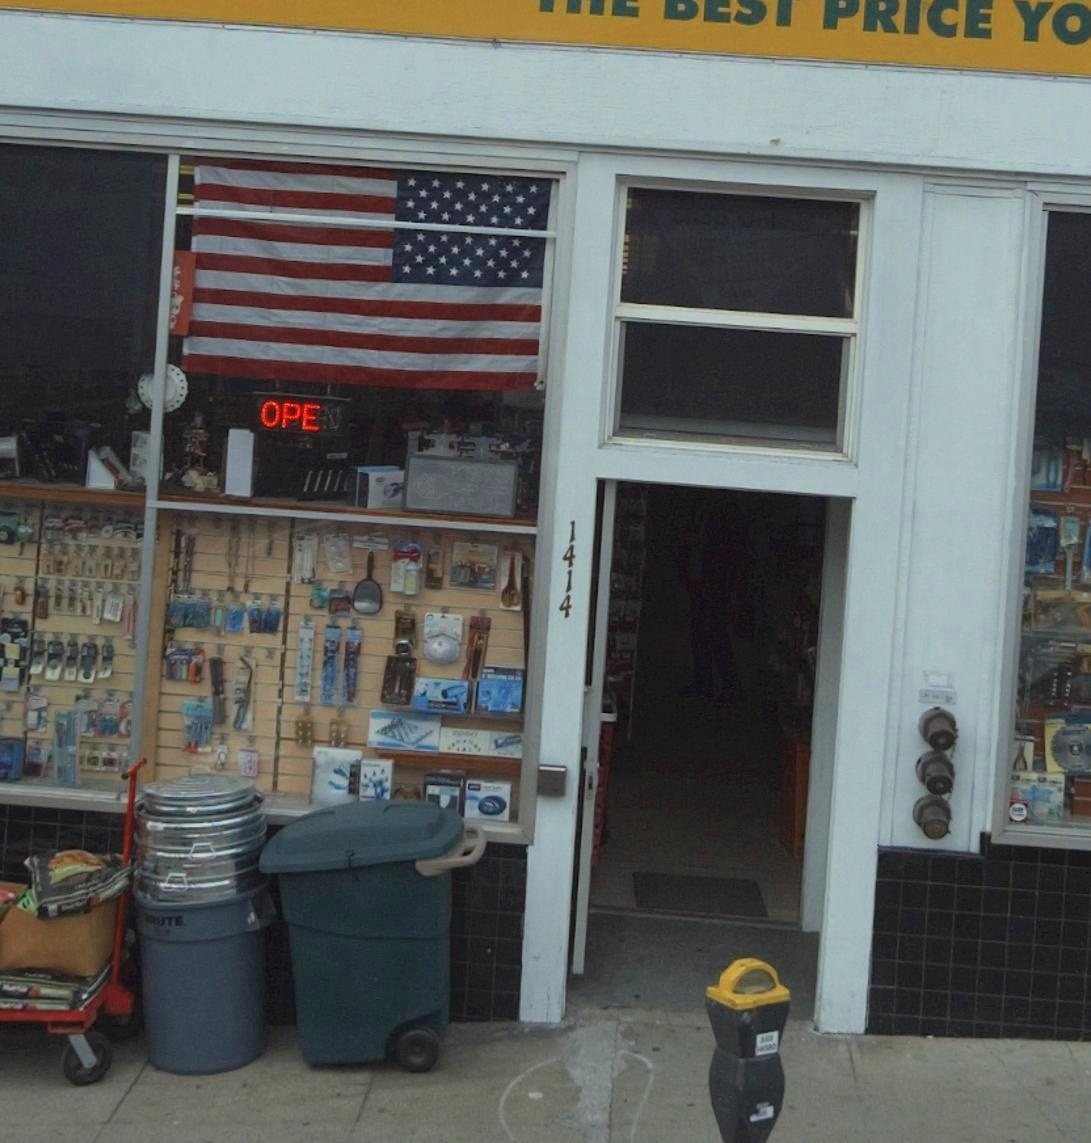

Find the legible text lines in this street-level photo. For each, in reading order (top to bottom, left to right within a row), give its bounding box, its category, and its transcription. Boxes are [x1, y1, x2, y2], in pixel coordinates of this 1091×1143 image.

[259, 399, 322, 432] None: OPE
[556, 516, 580, 621] StreetNumber: 1414
[156, 914, 186, 927] None: UTE